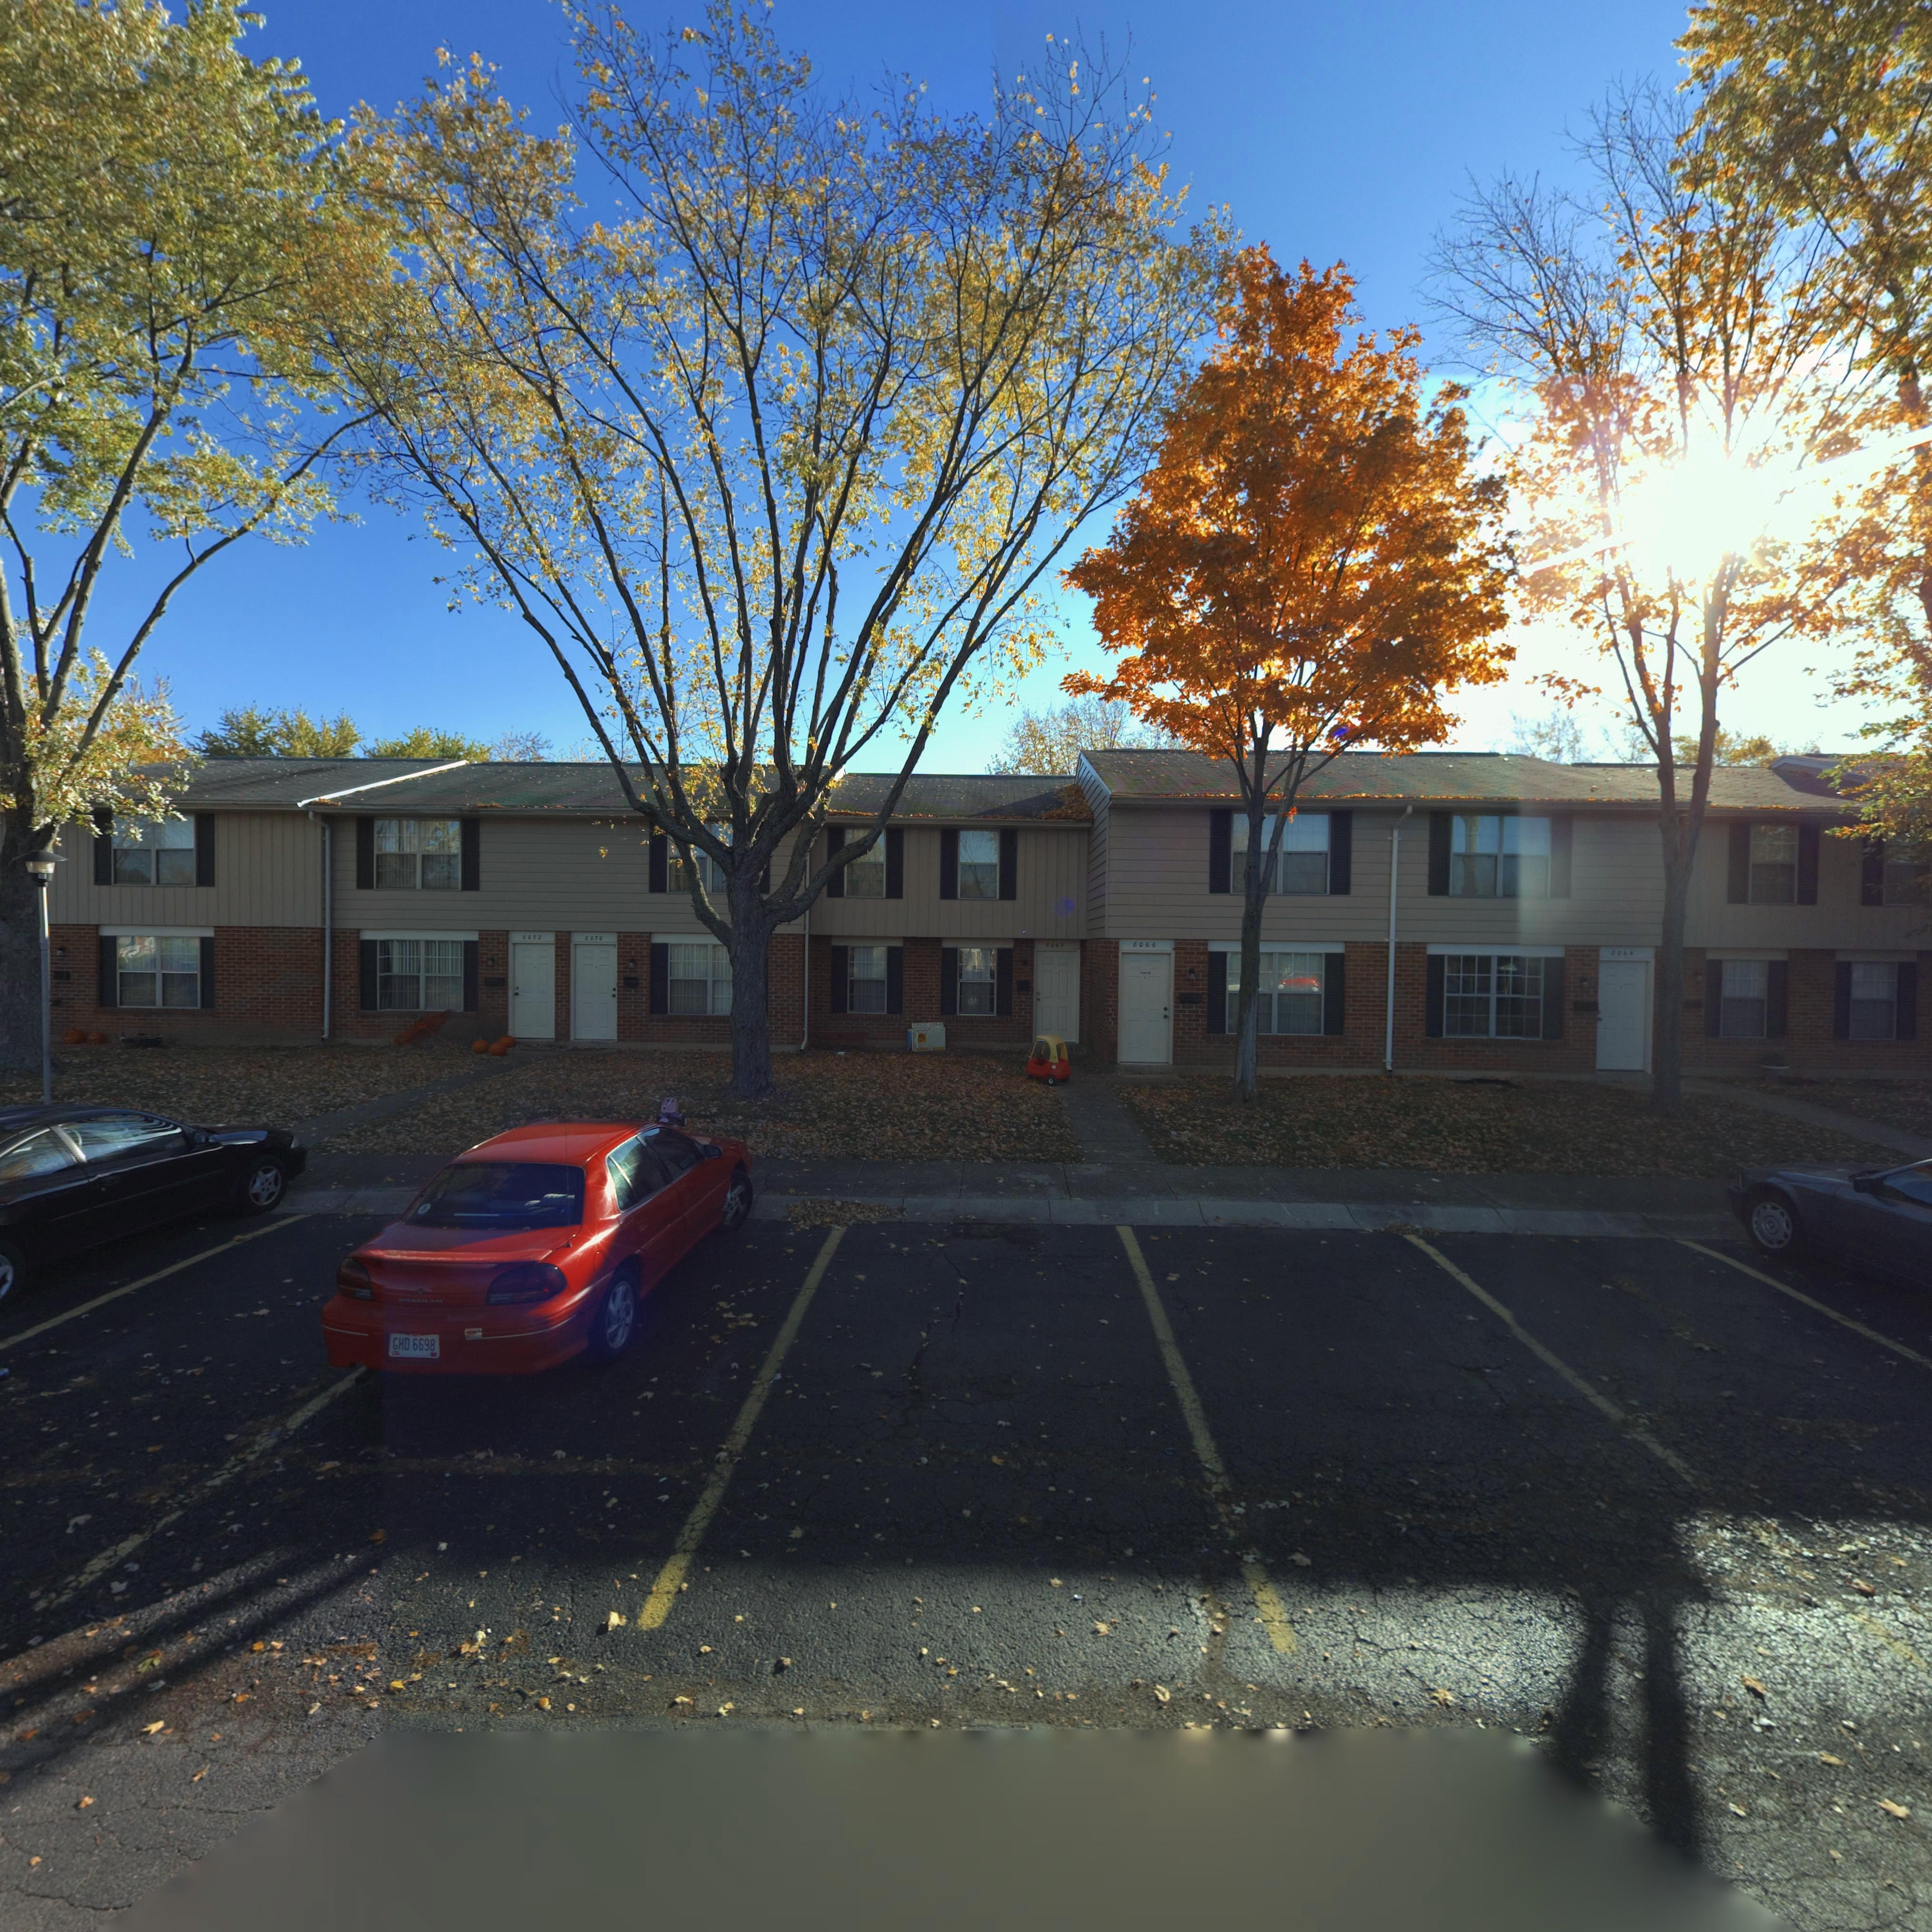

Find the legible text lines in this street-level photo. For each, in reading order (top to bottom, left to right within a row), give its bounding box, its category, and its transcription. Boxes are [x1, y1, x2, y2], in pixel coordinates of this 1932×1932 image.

[522, 934, 542, 940] StreetNumber: 8072
[585, 936, 603, 941] StreetNumber: 8070
[1045, 942, 1064, 947] StreetNumber: 8068
[1132, 941, 1156, 948] StreetNumber: 8066
[1611, 949, 1634, 956] StreetNumber: 8064